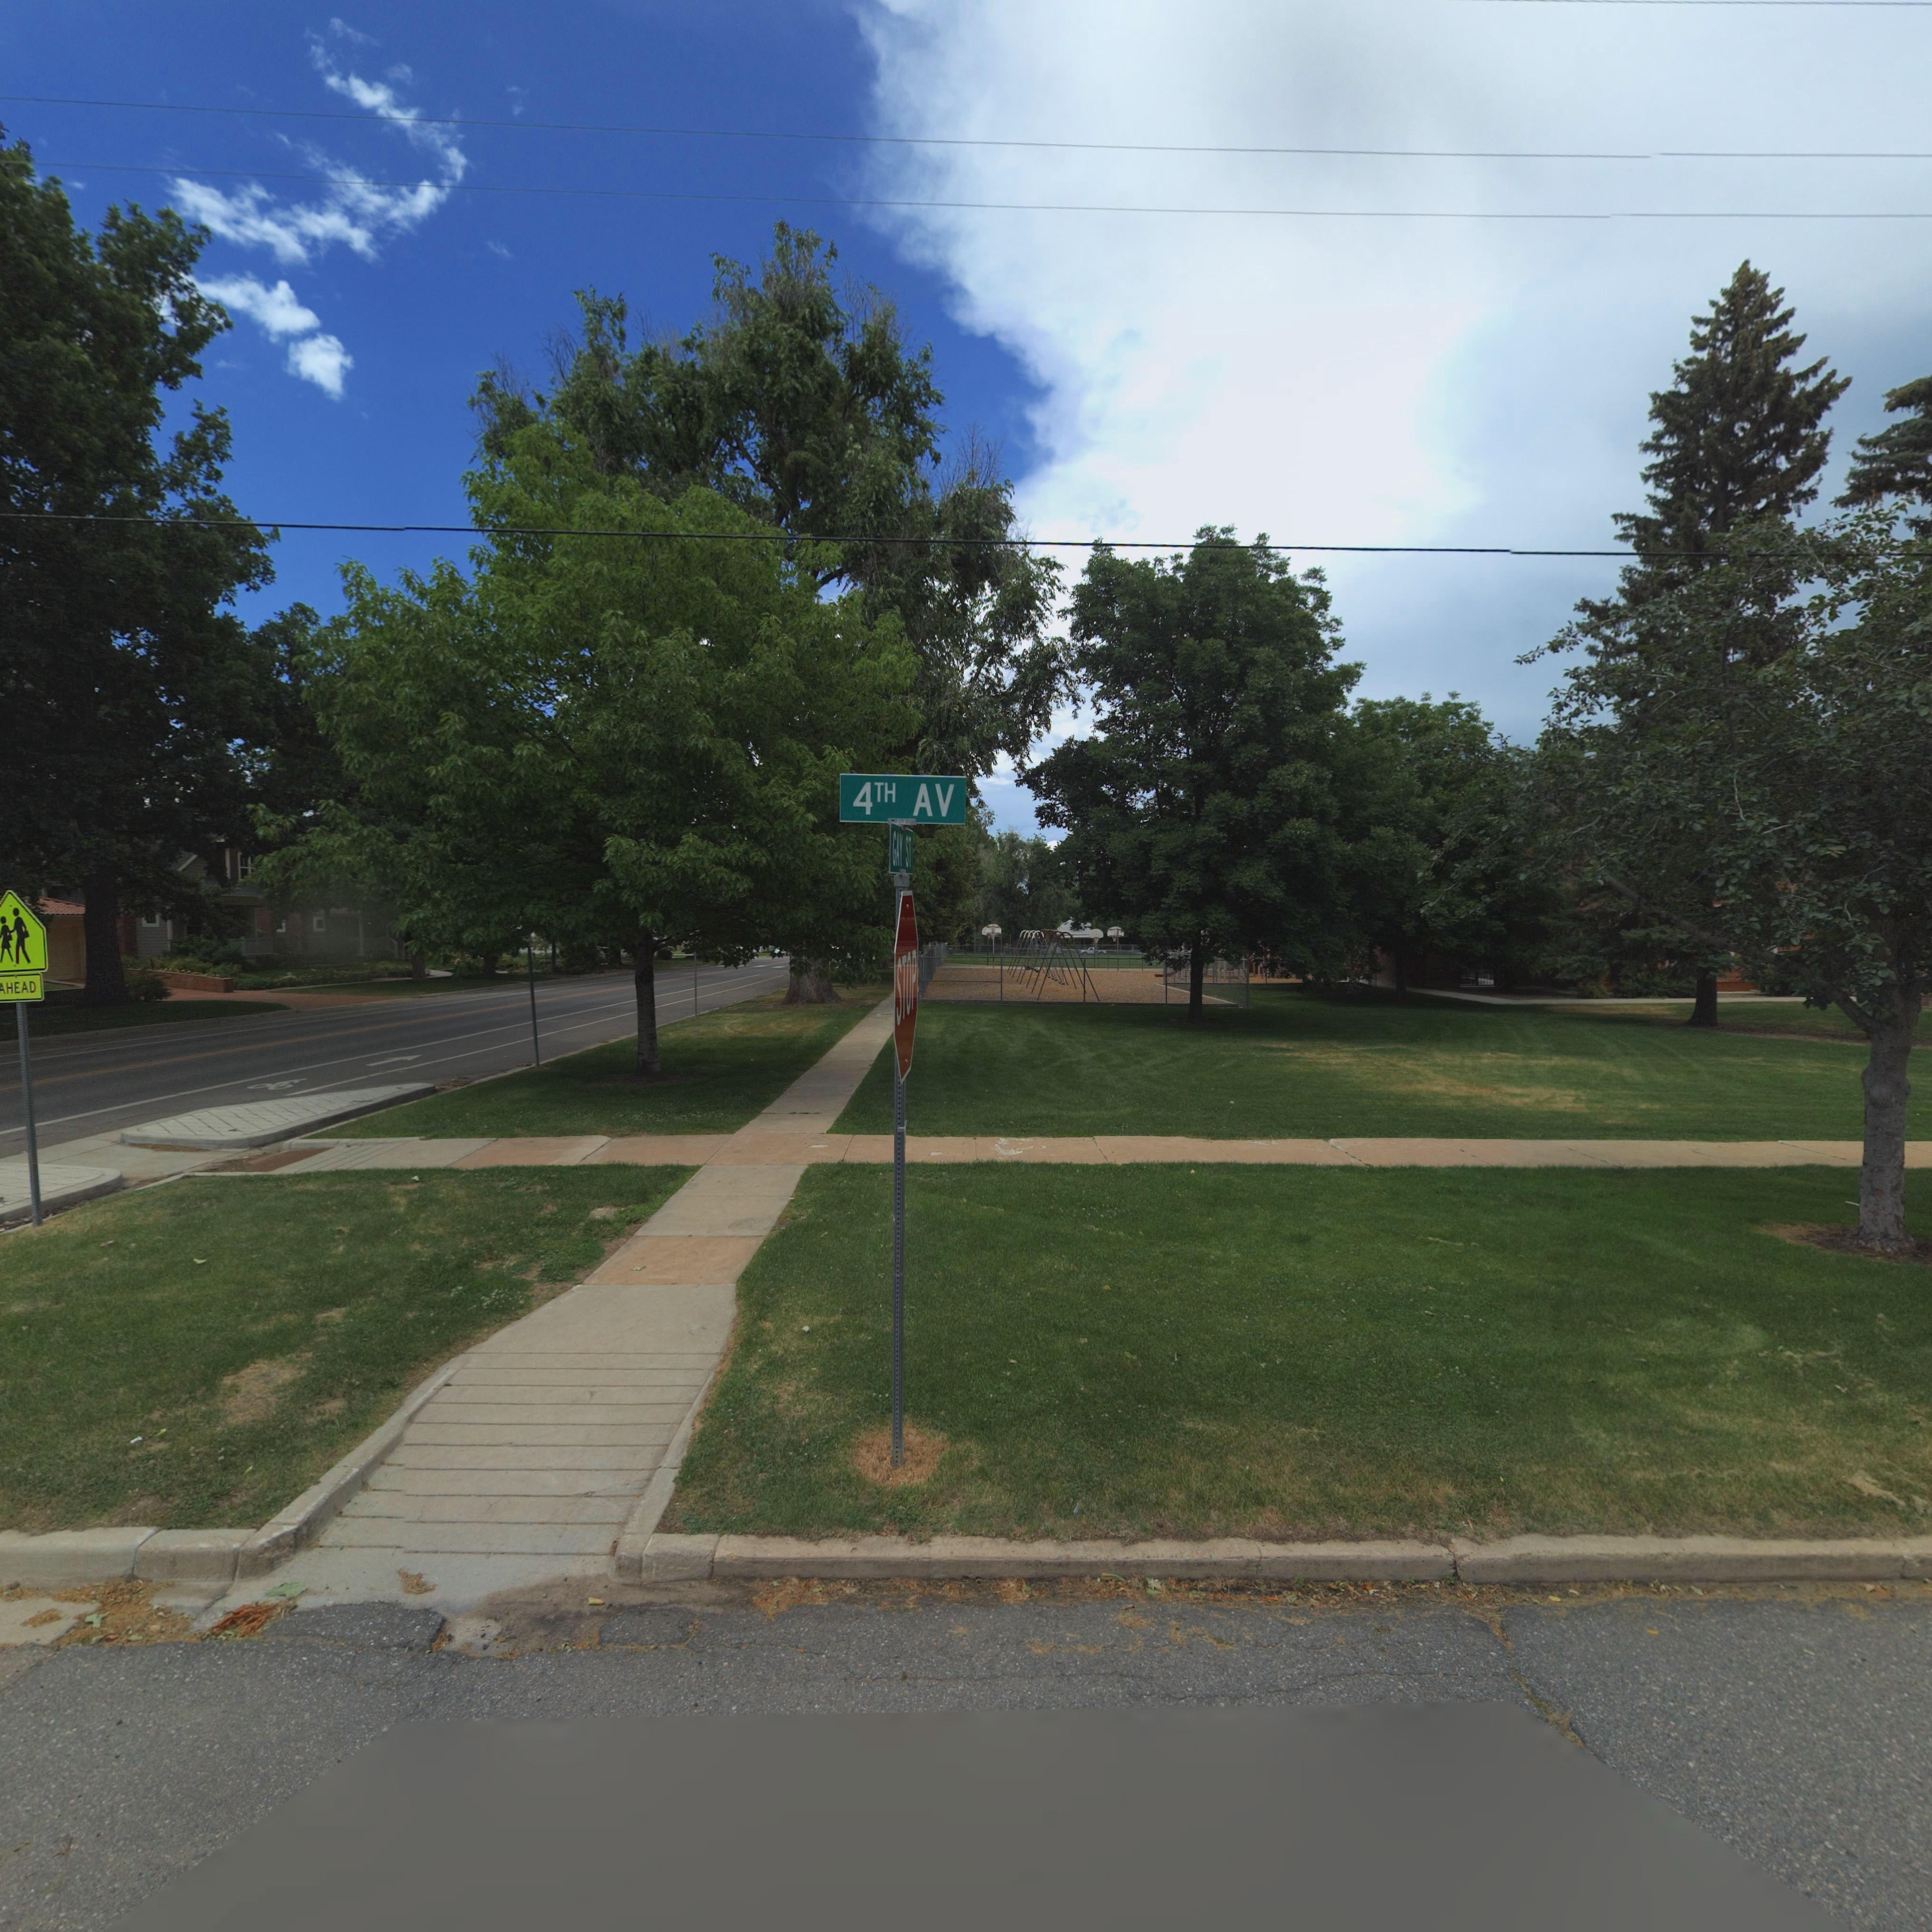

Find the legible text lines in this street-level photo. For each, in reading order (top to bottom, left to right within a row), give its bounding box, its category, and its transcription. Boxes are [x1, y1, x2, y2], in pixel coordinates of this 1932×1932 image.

[852, 781, 955, 817] StreetName: 4TH AV
[892, 830, 912, 868] StreetName: GAY ST